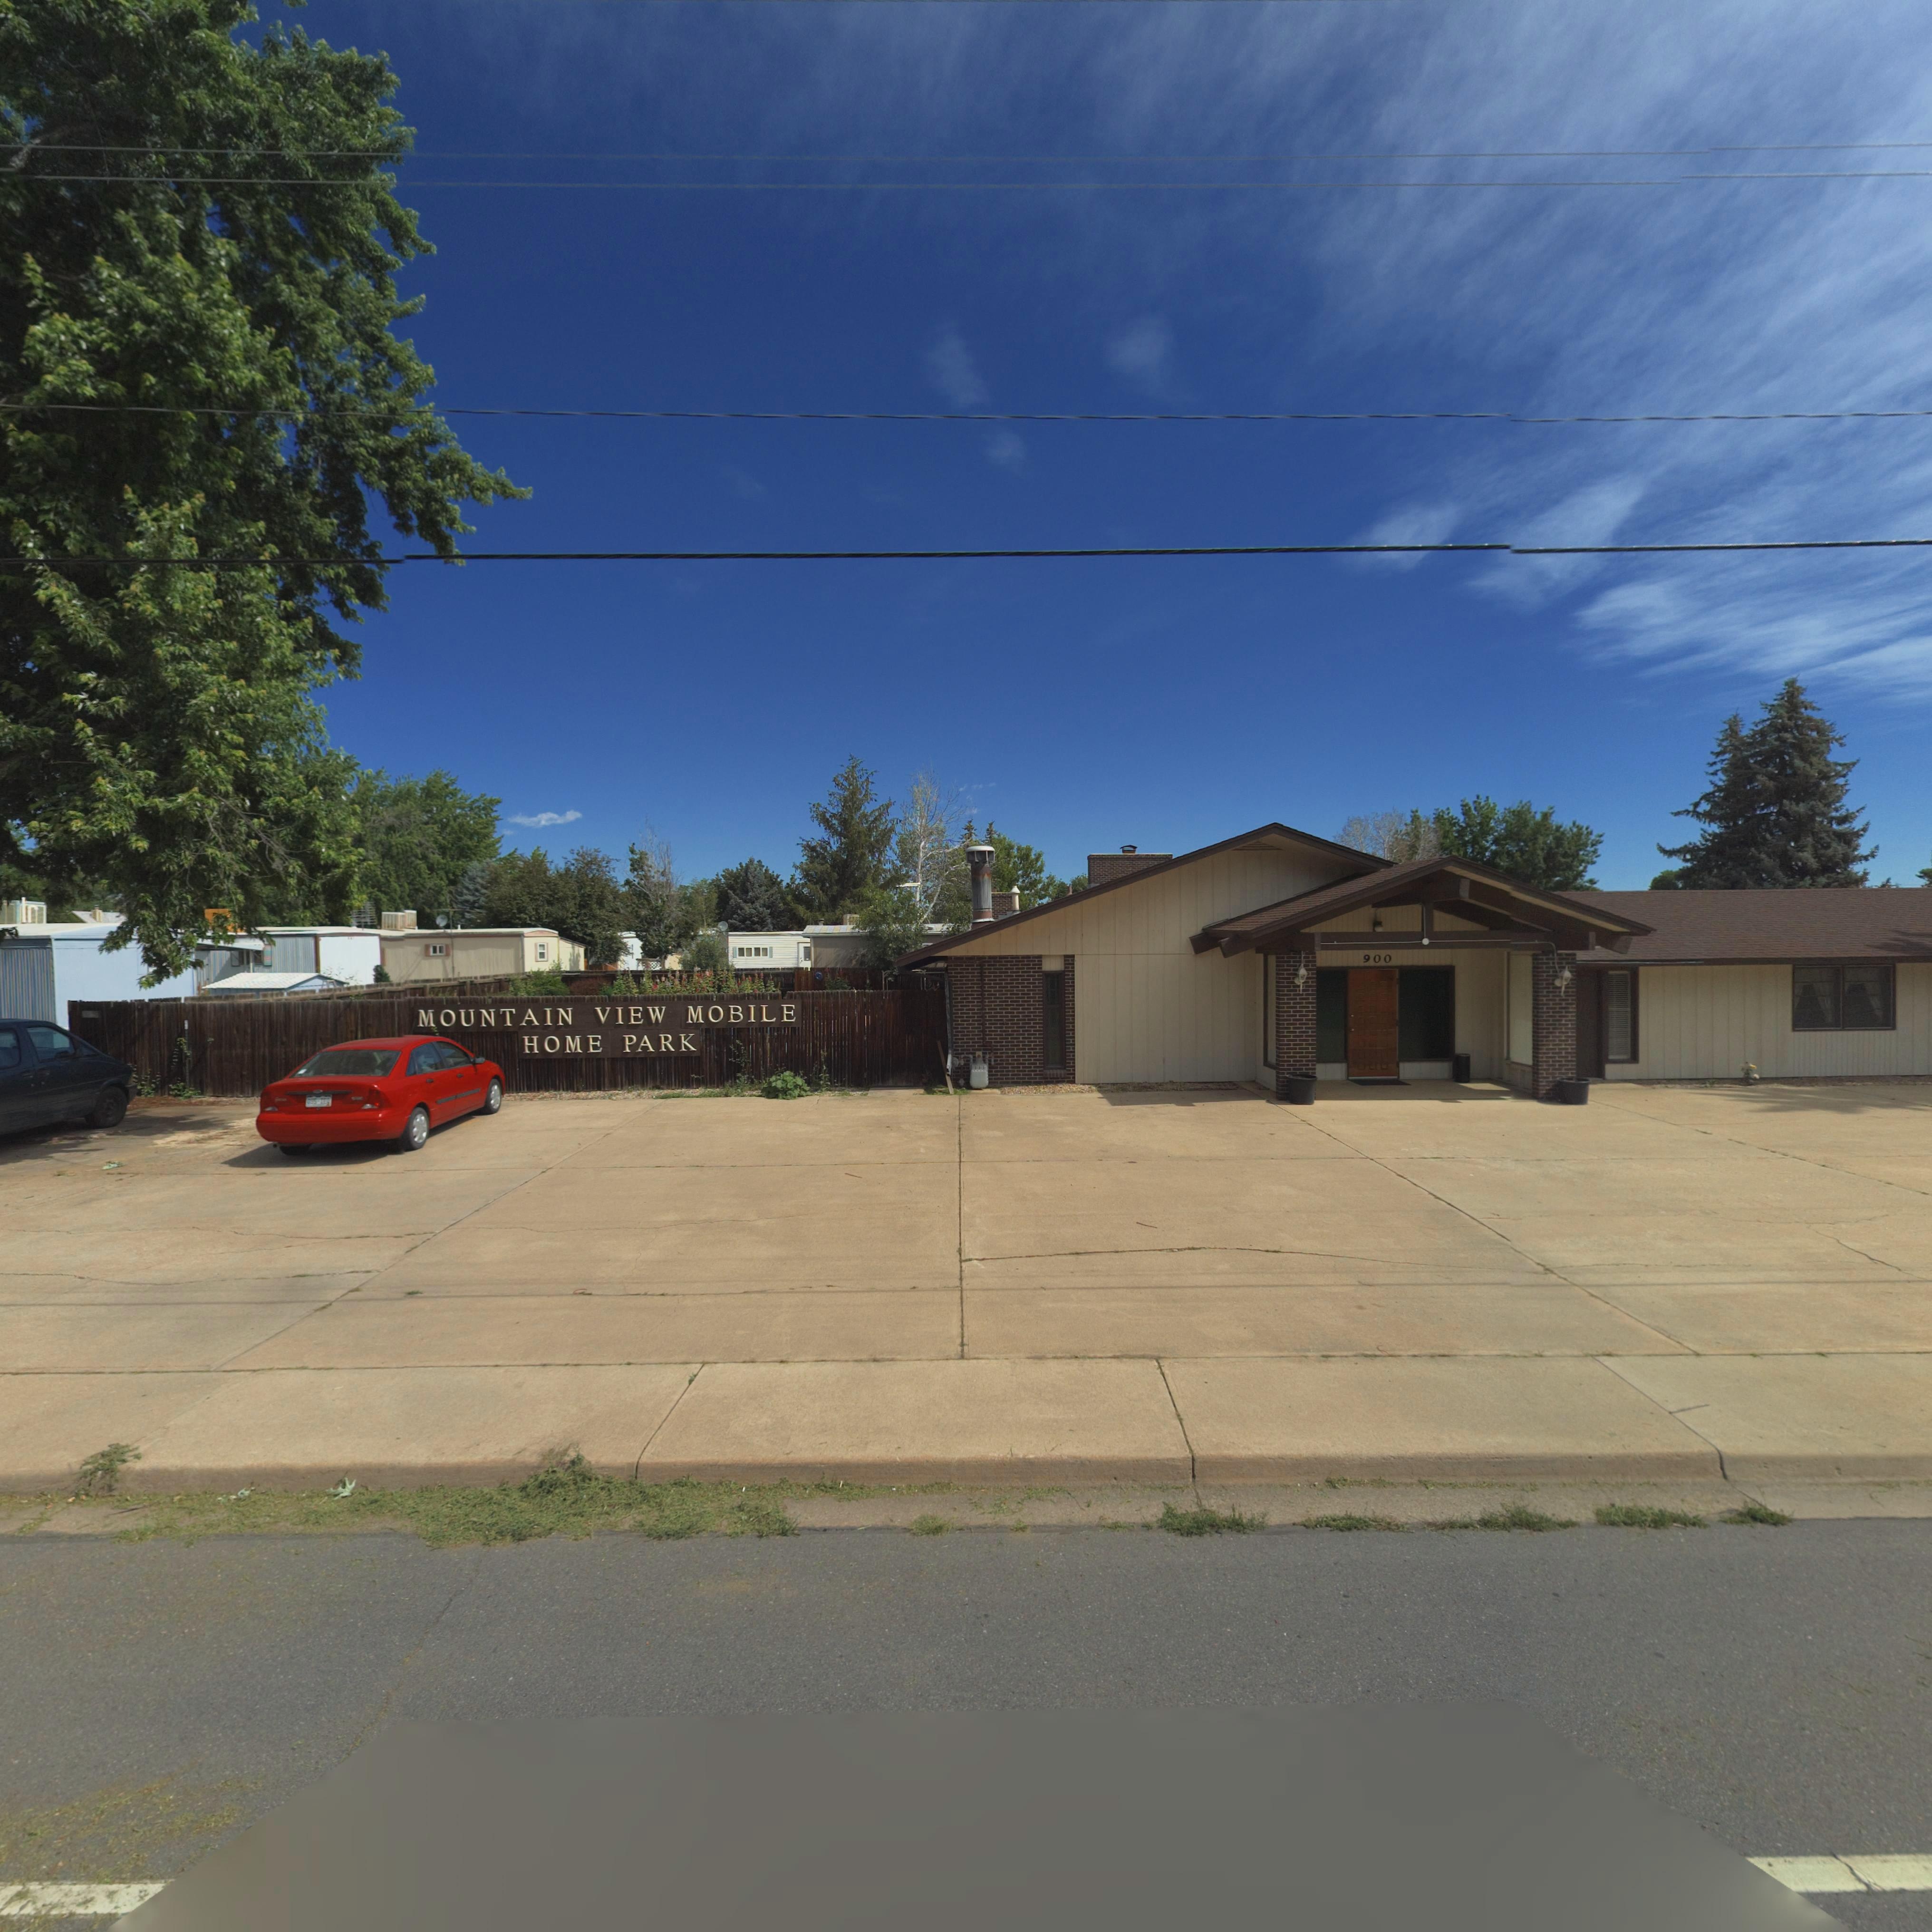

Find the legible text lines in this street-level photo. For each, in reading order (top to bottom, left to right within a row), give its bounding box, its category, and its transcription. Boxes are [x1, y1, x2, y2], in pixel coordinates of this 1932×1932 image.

[1362, 953, 1392, 964] StreetNumber: 900
[415, 1002, 799, 1030] BusinessName: MOUNTAIN VIEW MOBILE
[519, 1032, 697, 1056] BusinessName: HOME PARK